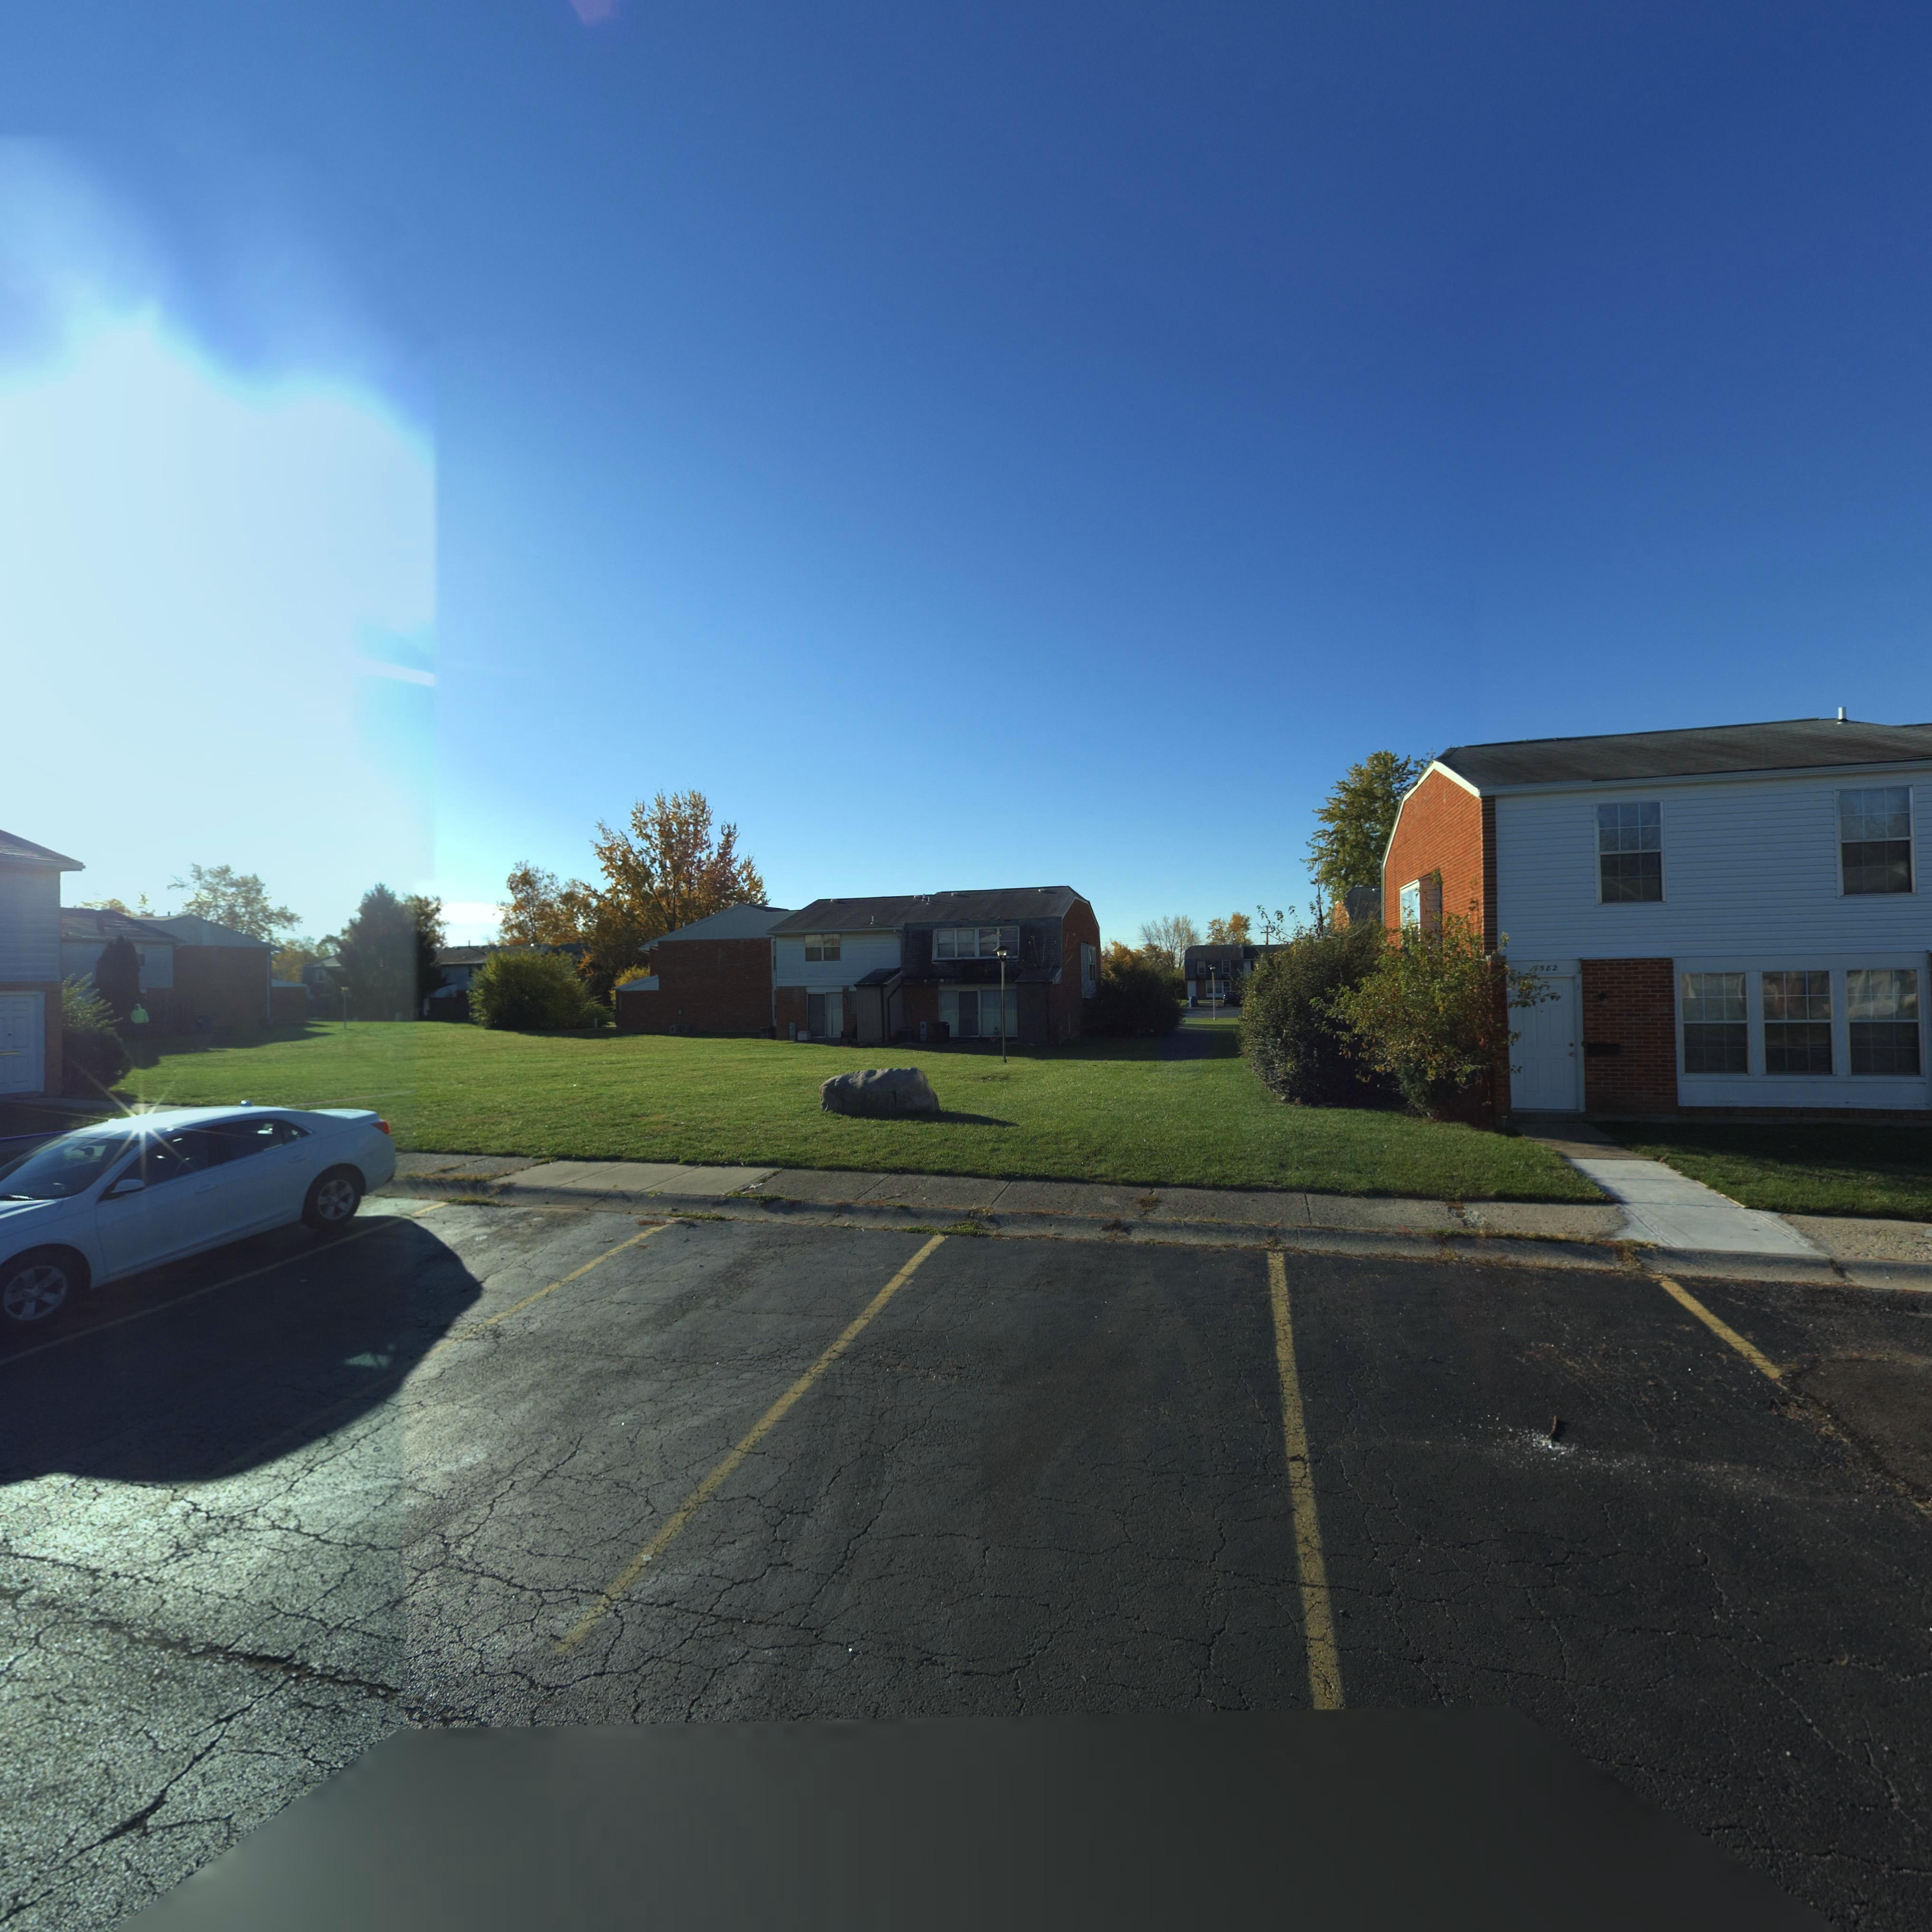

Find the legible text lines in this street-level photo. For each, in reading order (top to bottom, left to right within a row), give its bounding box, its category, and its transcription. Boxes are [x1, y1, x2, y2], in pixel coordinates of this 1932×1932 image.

[1539, 963, 1559, 973] StreetNumber: 582